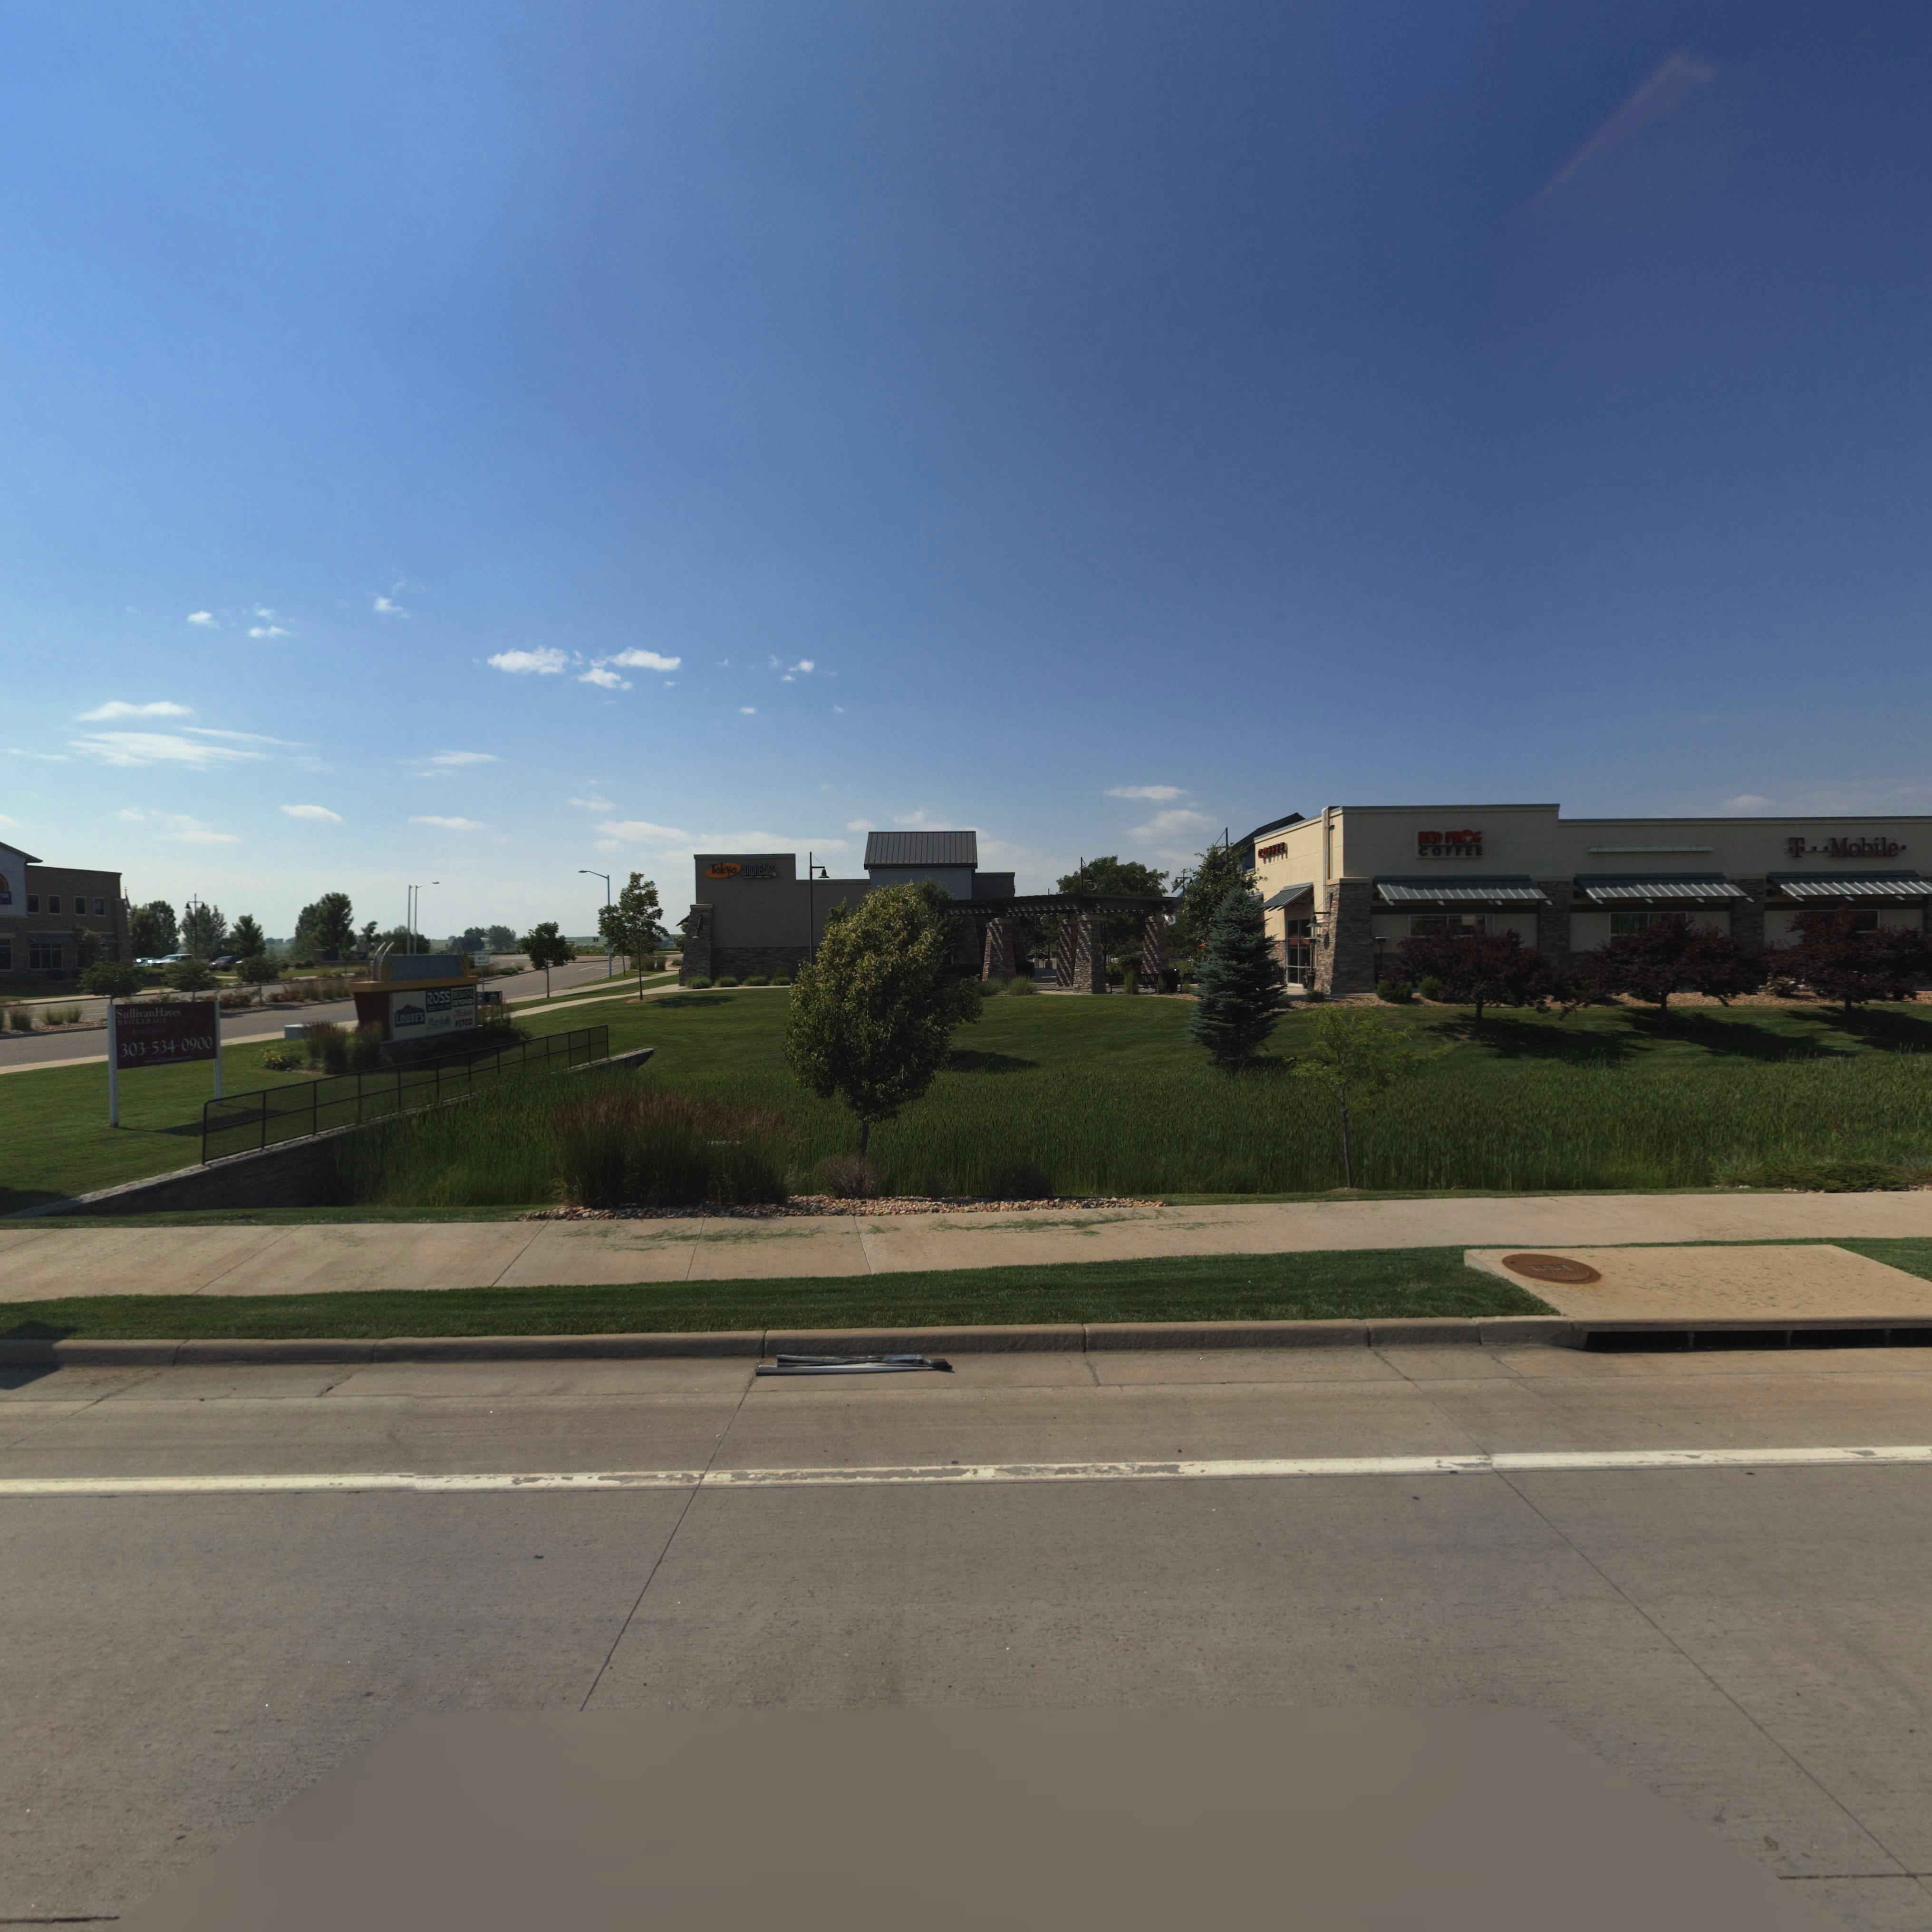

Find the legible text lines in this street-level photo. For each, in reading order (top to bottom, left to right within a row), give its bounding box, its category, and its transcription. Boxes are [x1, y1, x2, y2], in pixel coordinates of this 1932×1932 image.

[1419, 829, 1483, 845] BusinessName: RED FROG
[1257, 841, 1283, 859] BusinessName: COFFEE
[1418, 846, 1483, 856] BusinessName: COFFEE
[1788, 836, 1899, 858] BusinessName: T Mobile
[709, 861, 737, 879] BusinessName: Tokyo
[741, 862, 773, 876] BusinessName: JOE'S
[426, 990, 451, 1005] BusinessName: ROSS
[452, 989, 473, 999] BusinessName: BEDBATH*
[453, 998, 473, 1006] BusinessName: **YO*D
[396, 1011, 424, 1024] BusinessName: LOWE'S
[426, 1014, 452, 1027] BusinessName: Ma*shalls
[454, 1009, 462, 1017] BusinessName: M
[454, 1017, 473, 1028] BusinessName: PETCO